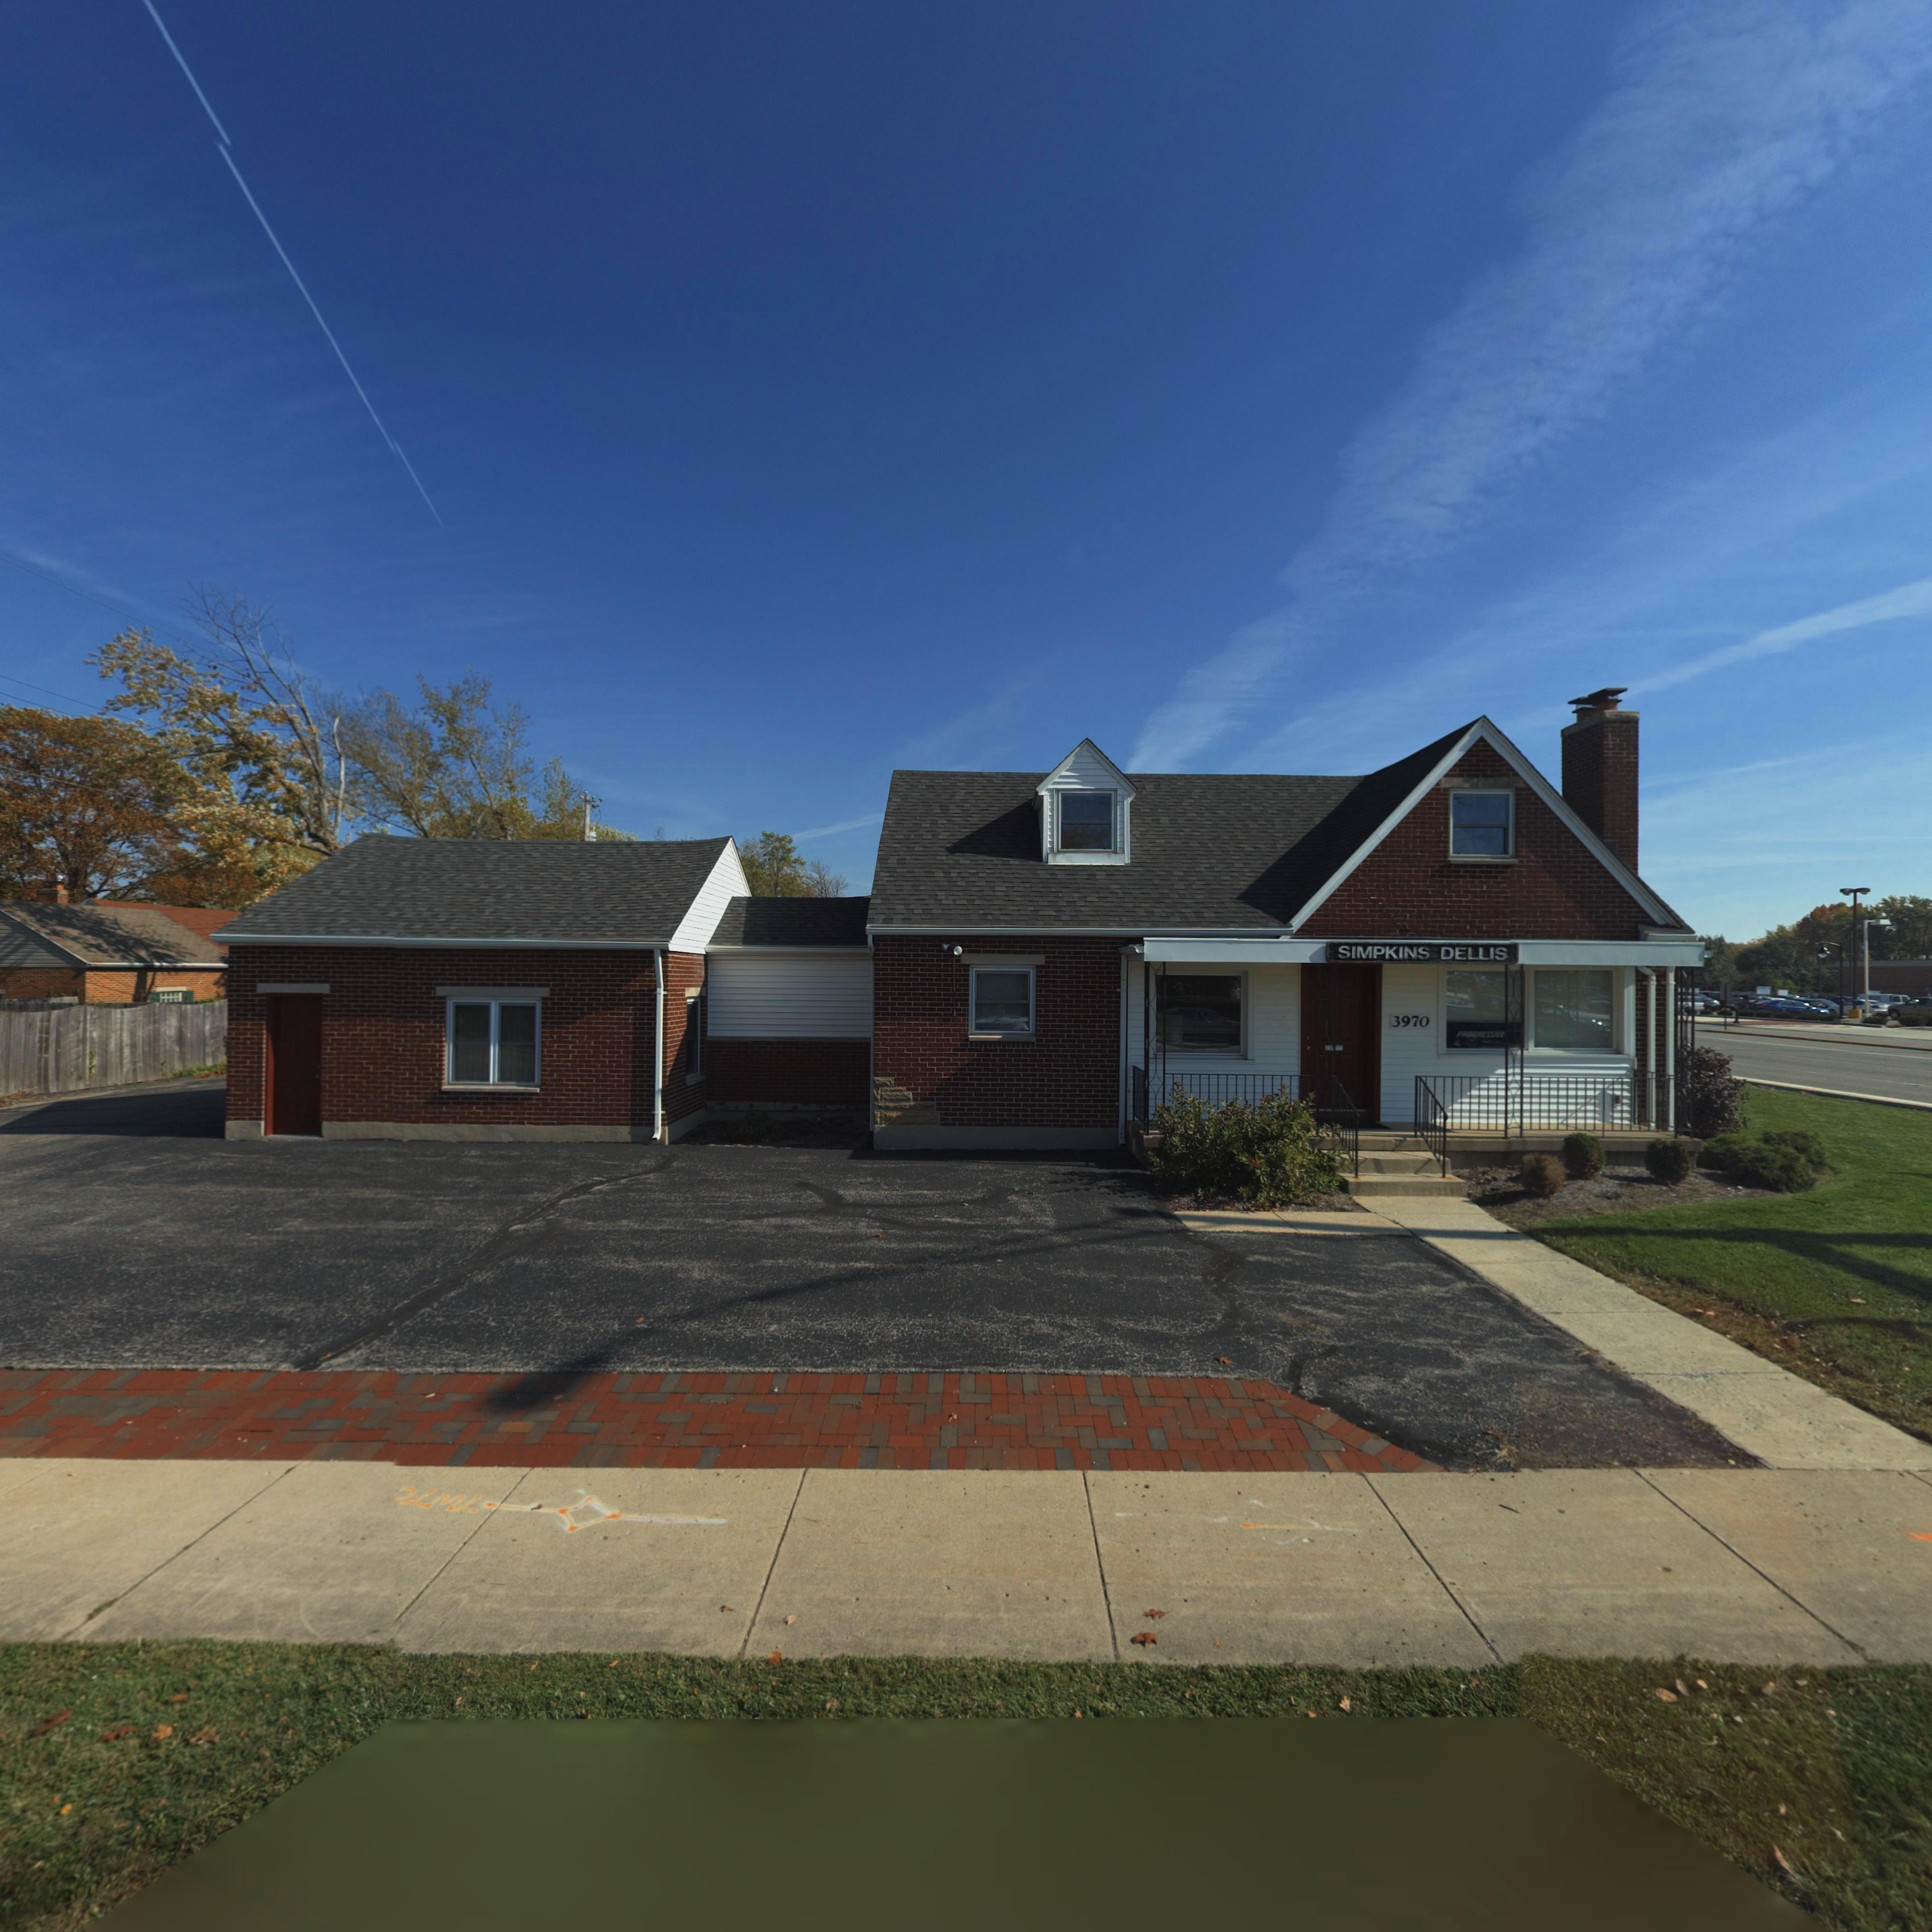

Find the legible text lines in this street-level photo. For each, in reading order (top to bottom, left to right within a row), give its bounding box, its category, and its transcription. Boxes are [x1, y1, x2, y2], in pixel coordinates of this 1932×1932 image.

[1337, 945, 1508, 961] None: SIMPKINS DELLIS
[1391, 1015, 1430, 1028] StreetNumber: 3970
[1455, 1030, 1507, 1038] None: PROGRESSIVE